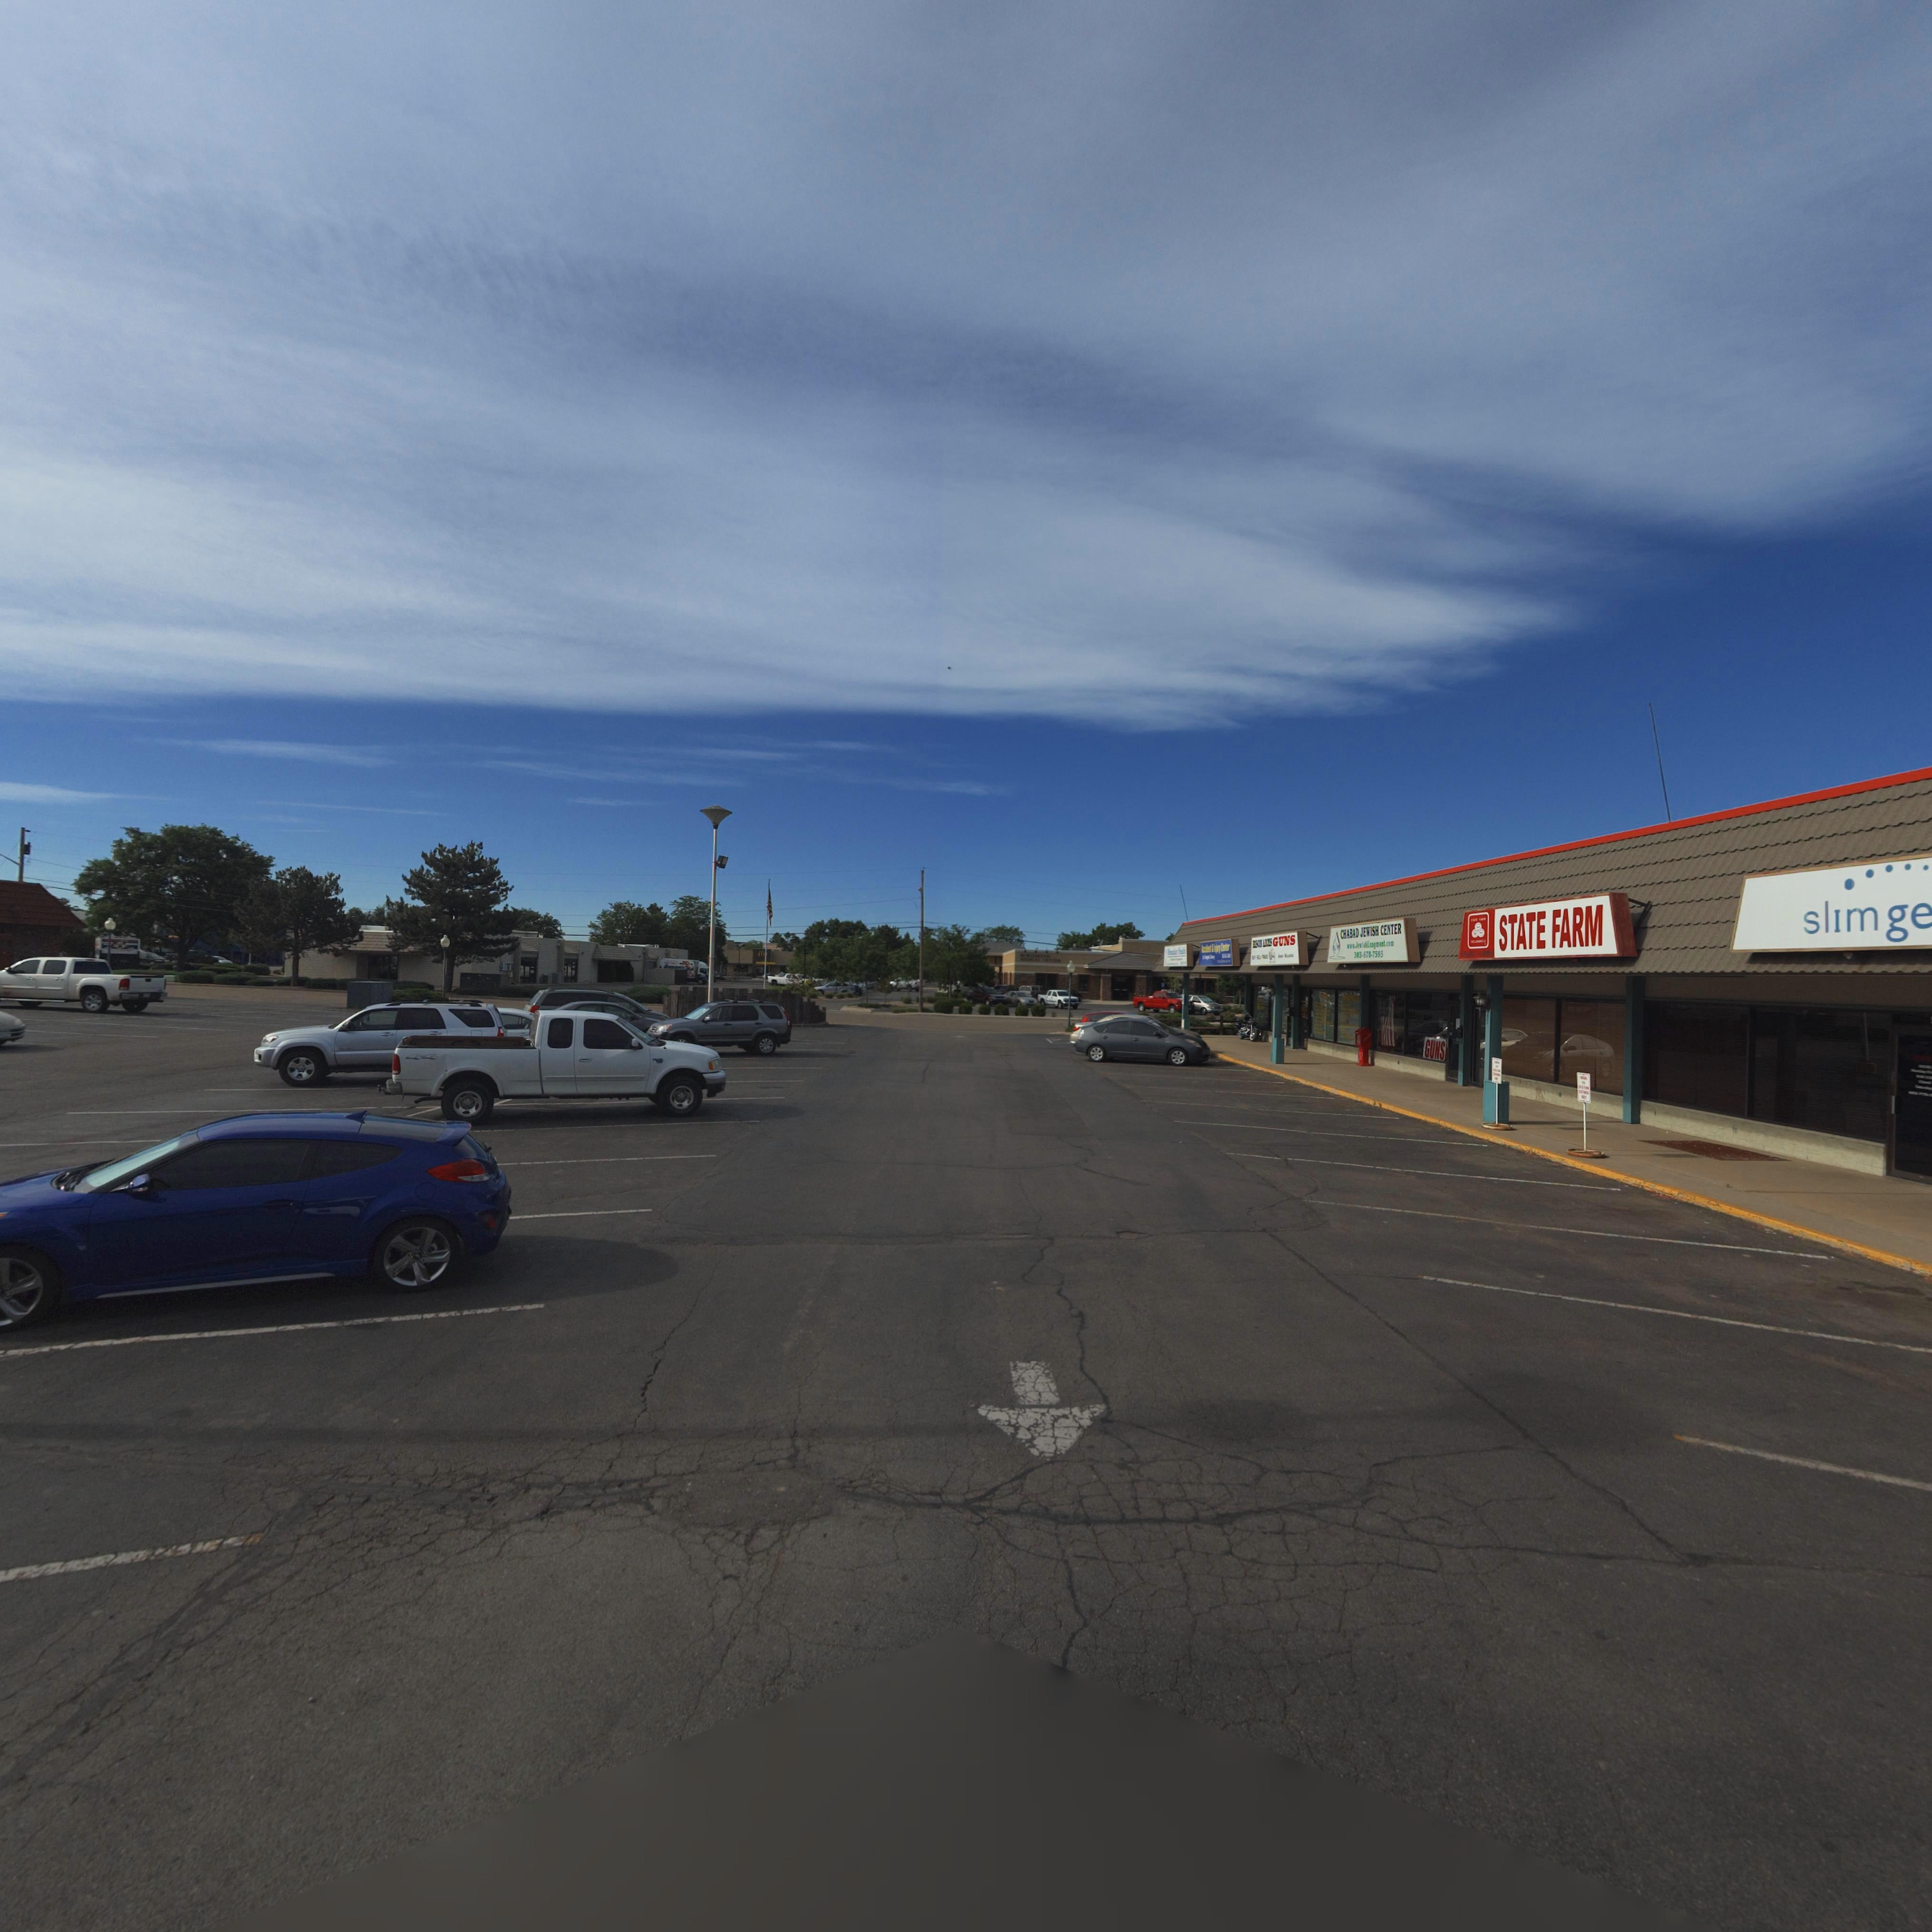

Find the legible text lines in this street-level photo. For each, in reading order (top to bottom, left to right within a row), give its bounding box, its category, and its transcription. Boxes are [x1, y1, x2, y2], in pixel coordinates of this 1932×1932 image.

[1272, 934, 1295, 947] BusinessName: GUNS
[1340, 922, 1401, 939] BusinessName: CHABAD JEWISH CENTER
[1498, 903, 1604, 952] BusinessName: STATE FARM
[1802, 898, 1911, 944] BusinessName: slimg